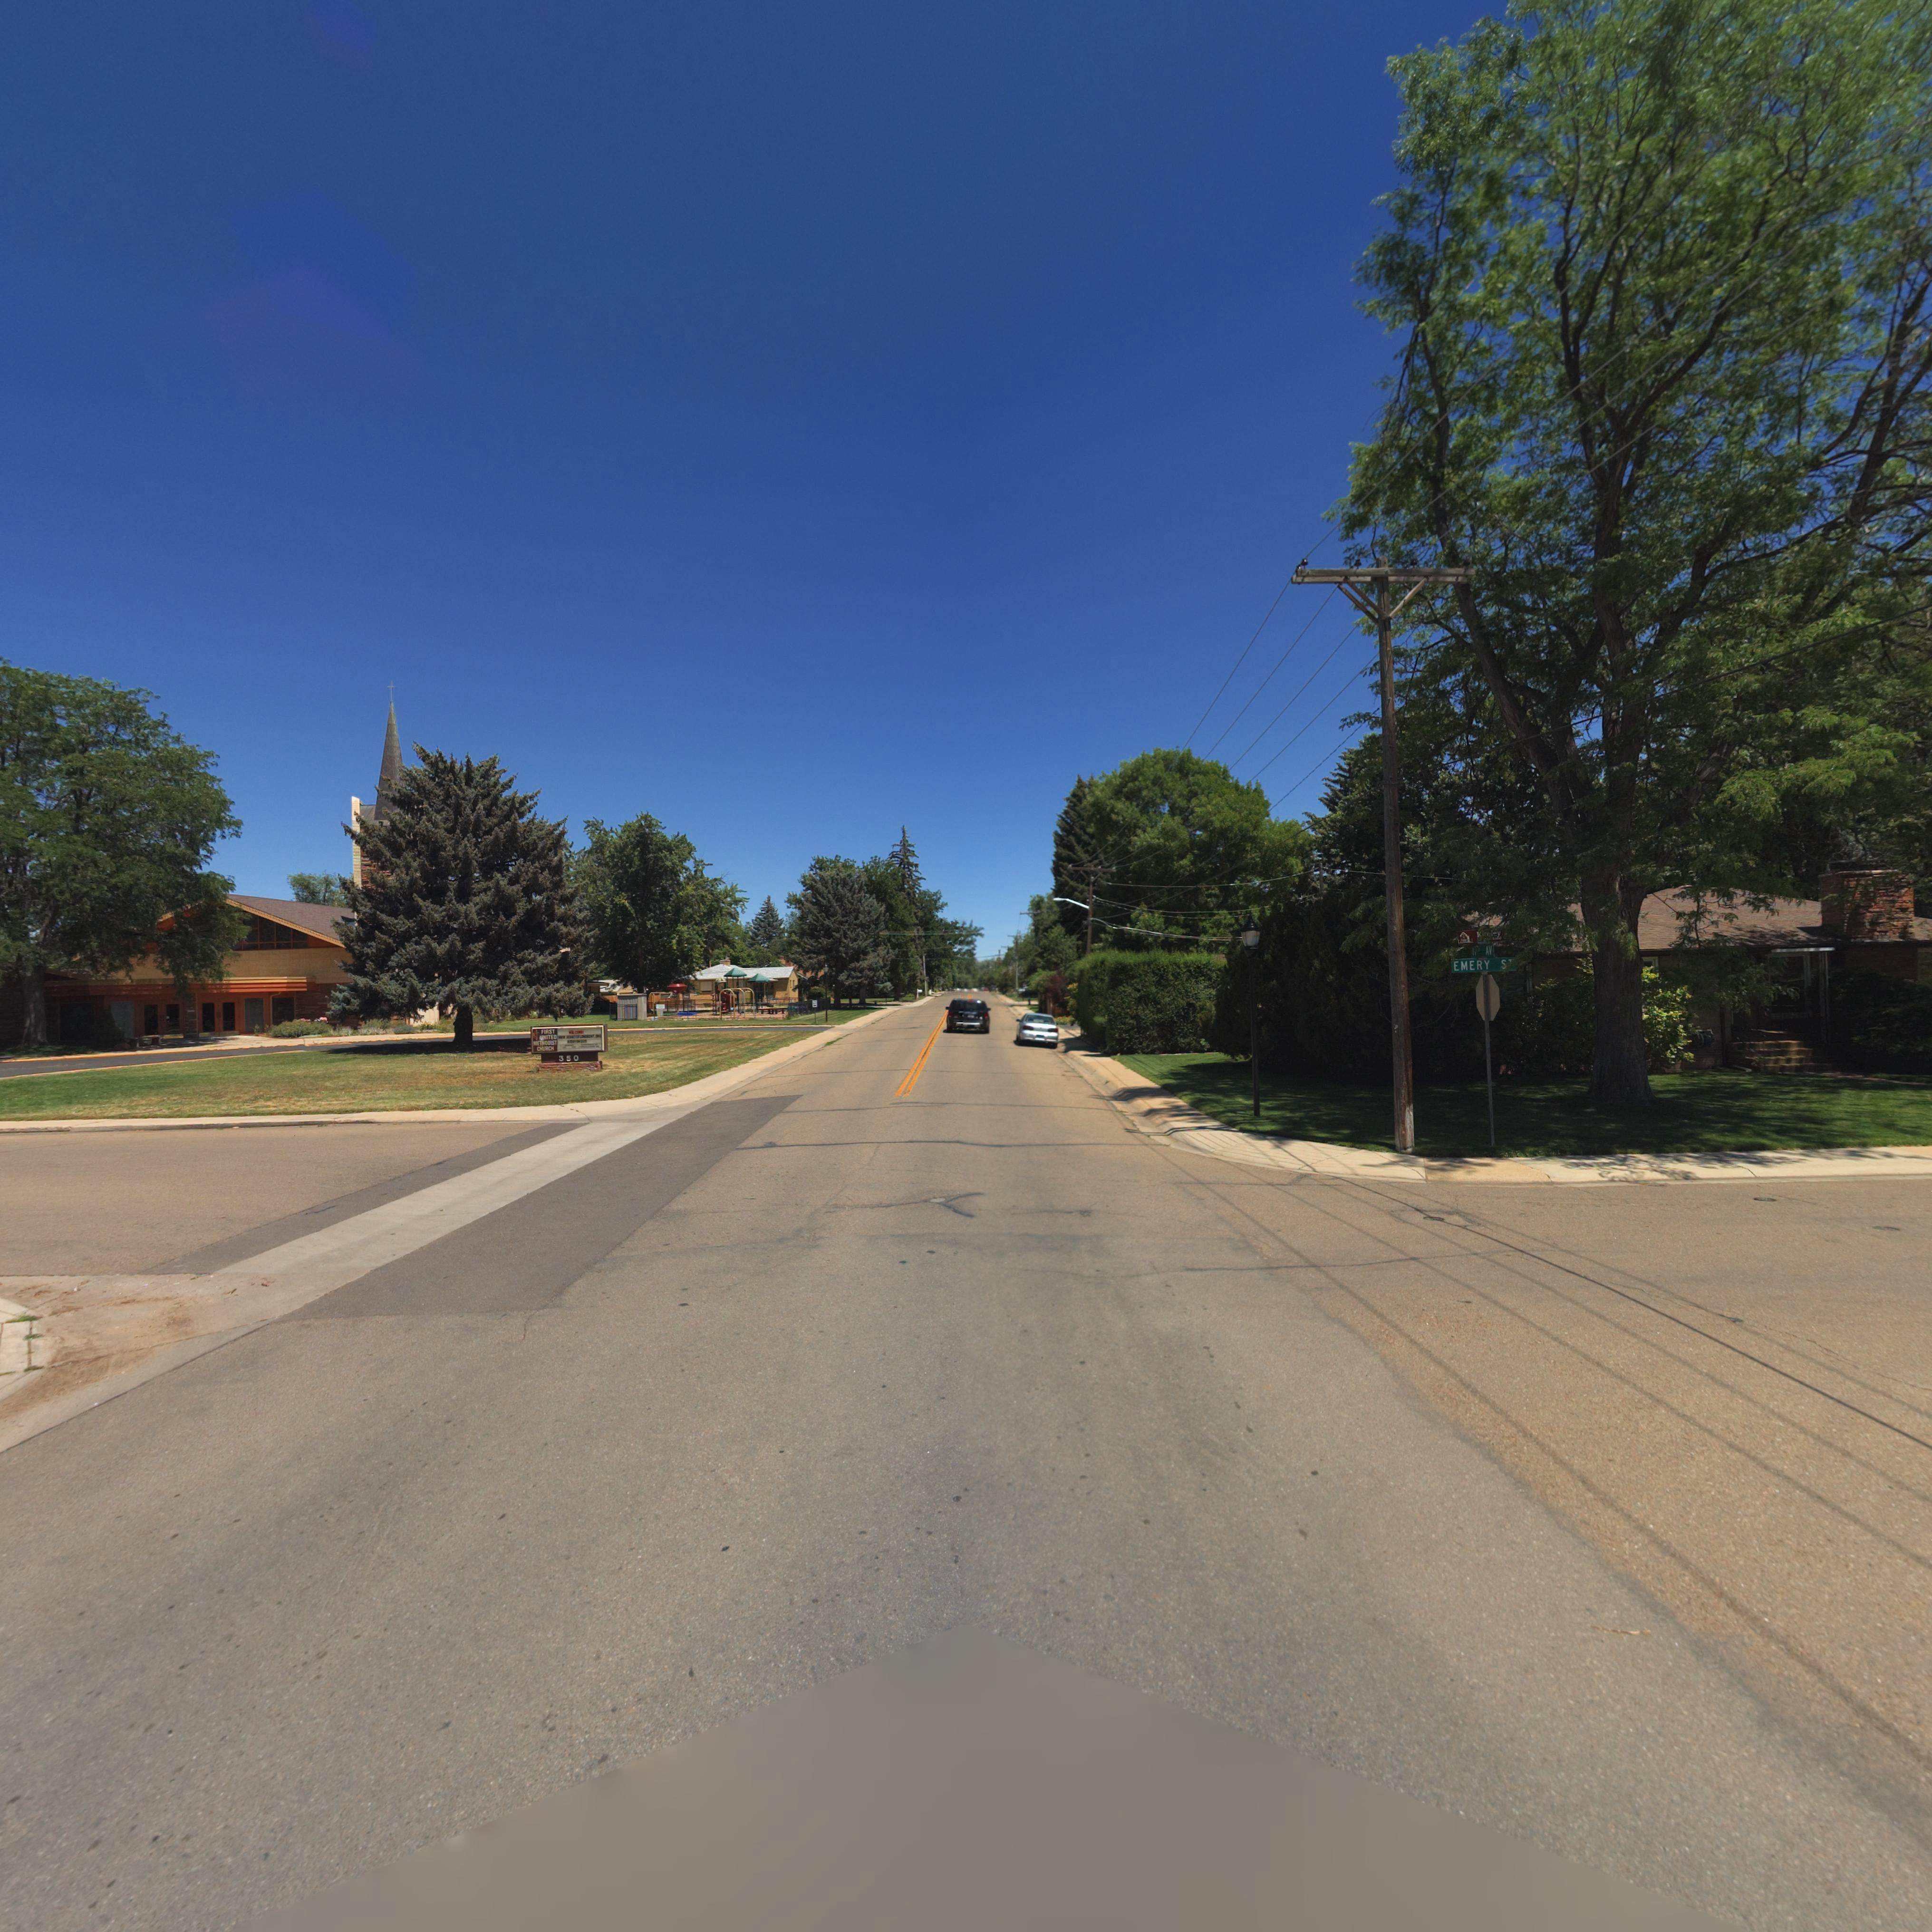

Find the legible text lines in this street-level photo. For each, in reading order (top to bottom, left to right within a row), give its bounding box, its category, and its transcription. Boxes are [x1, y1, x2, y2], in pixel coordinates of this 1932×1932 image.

[1471, 945, 1491, 955] StreetName: 10th AV
[1454, 959, 1513, 971] StreetName: EMERY **
[541, 1029, 555, 1034] BusinessName: FIRST
[539, 1034, 557, 1040] BusinessName: UNITED
[533, 1040, 557, 1045] BusinessName: METHODIST
[537, 1046, 554, 1051] BusinessName: CHURCH
[558, 1055, 579, 1062] StreetNumber: 350